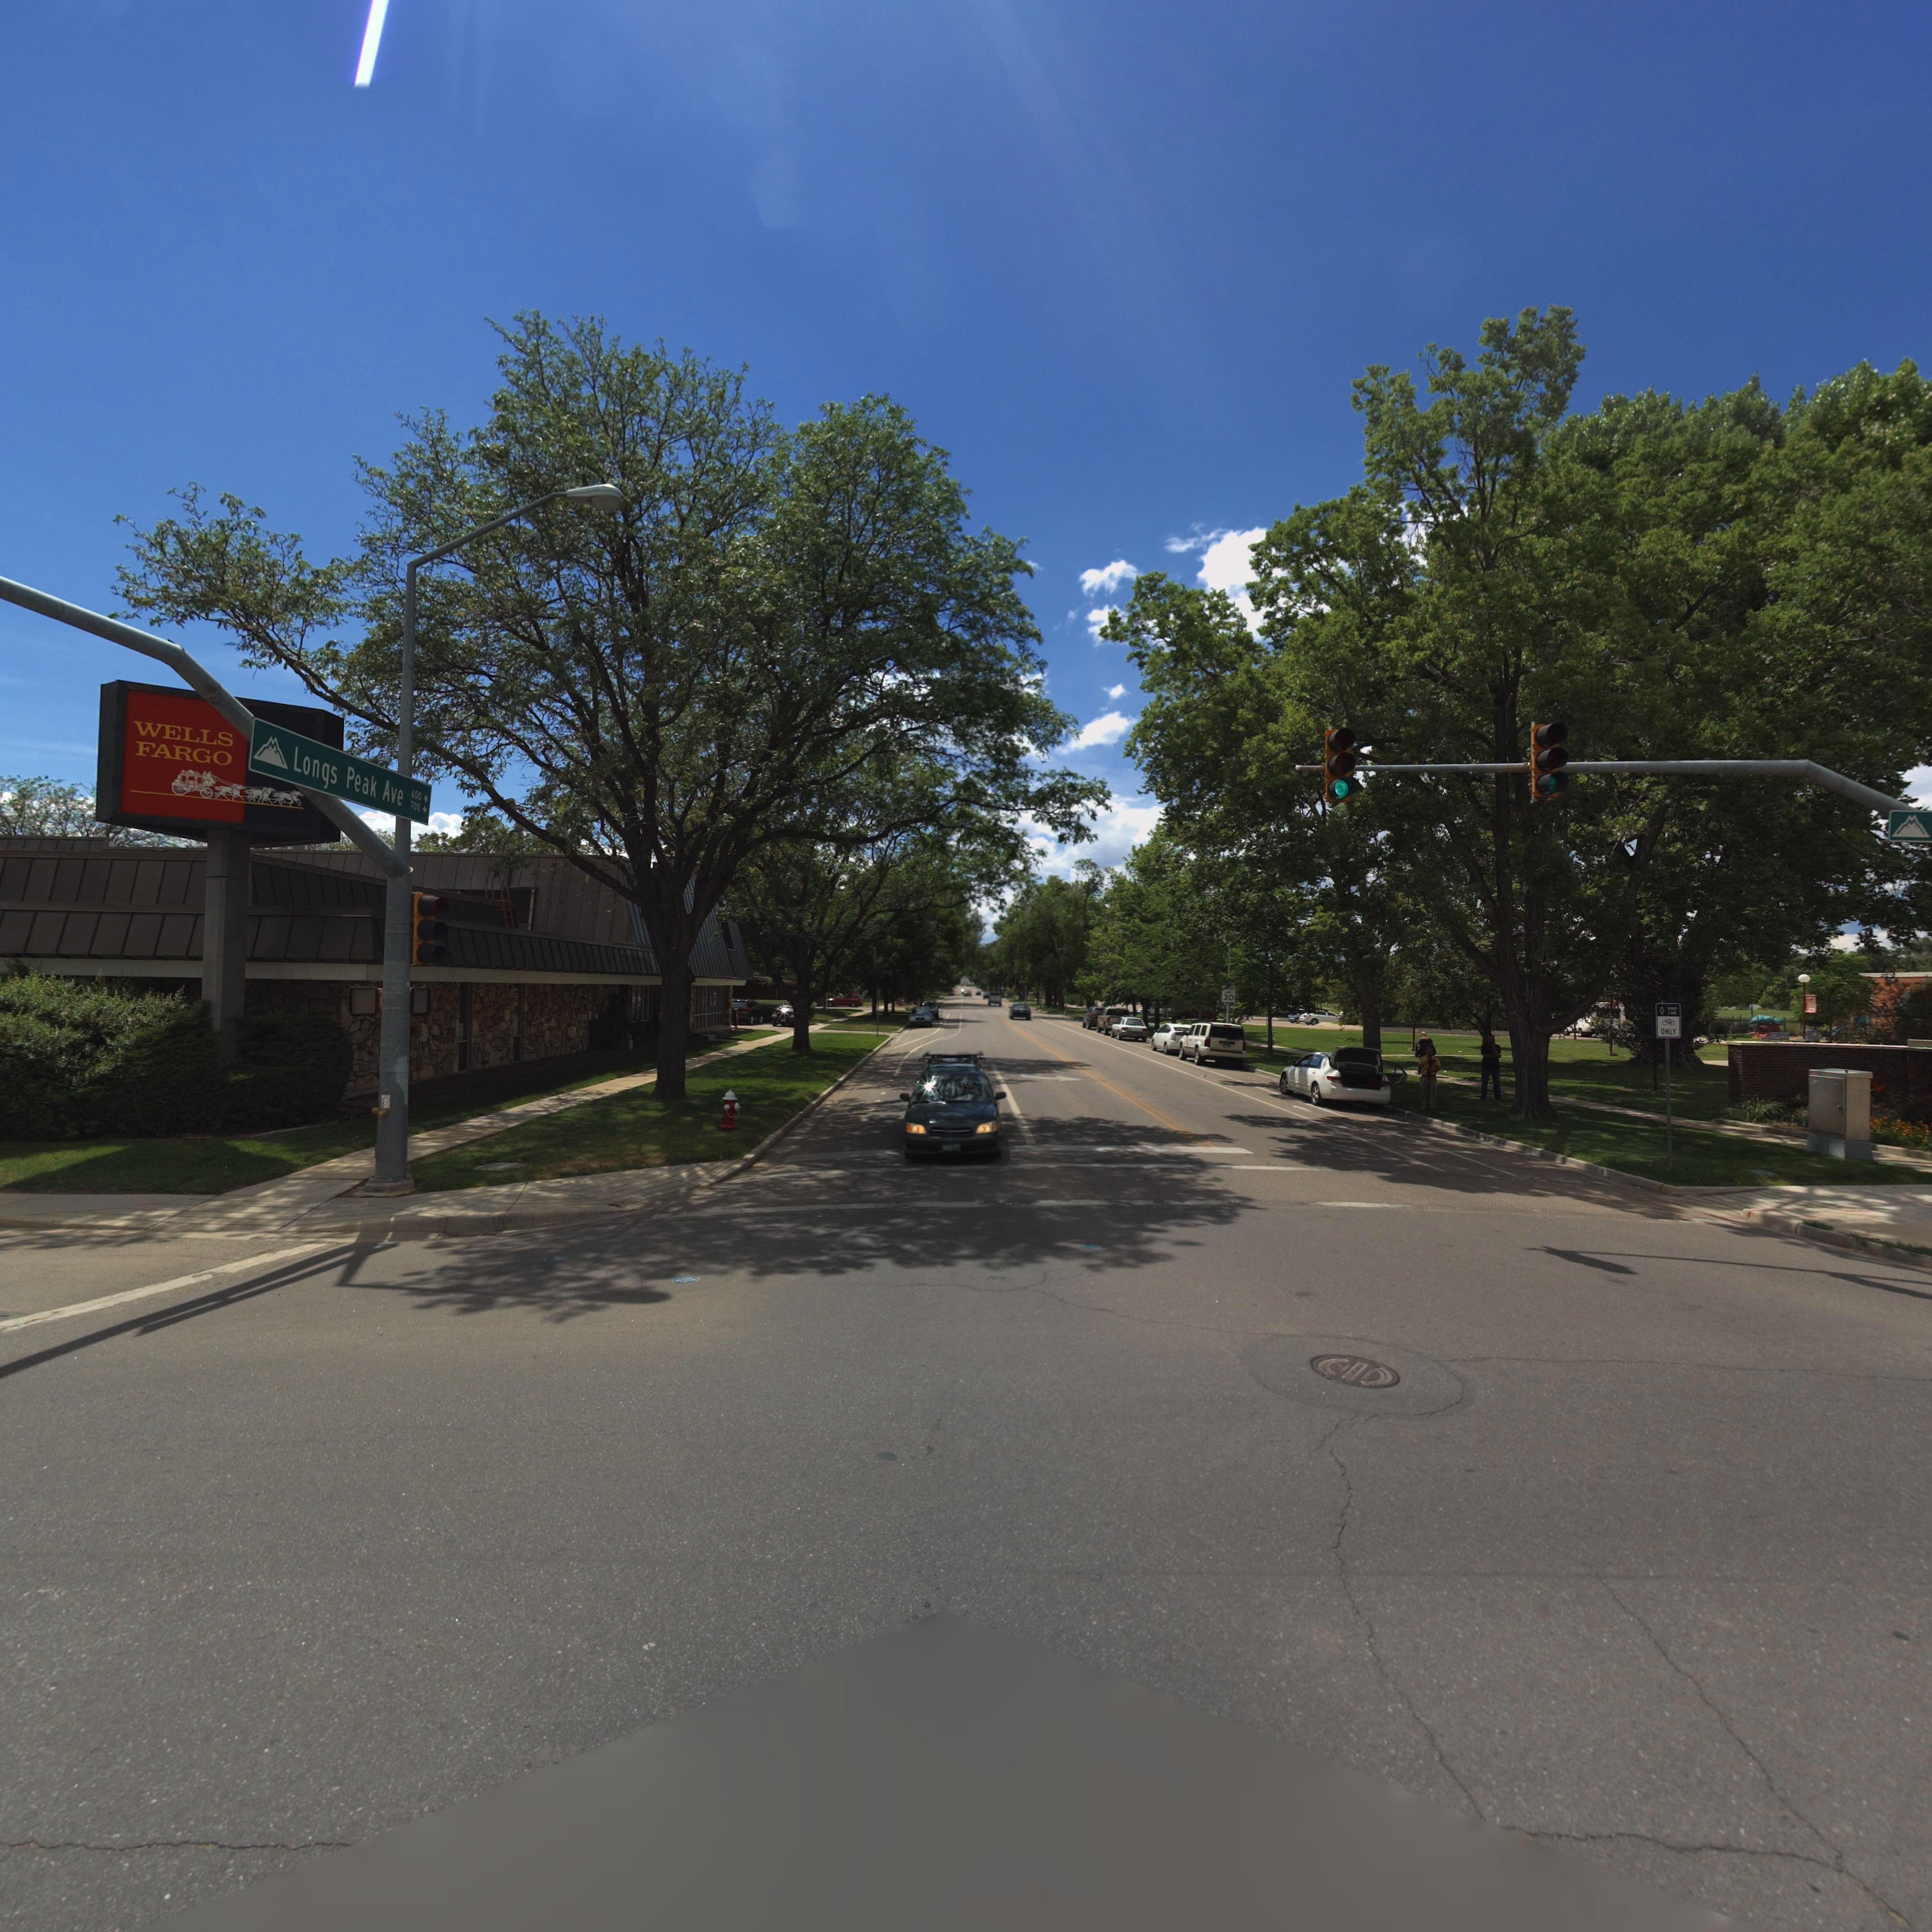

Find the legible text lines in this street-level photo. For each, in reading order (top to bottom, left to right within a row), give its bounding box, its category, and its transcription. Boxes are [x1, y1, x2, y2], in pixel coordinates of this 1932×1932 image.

[133, 719, 233, 747] BusinessName: WELLS
[135, 740, 232, 766] BusinessName: FARGO
[293, 745, 403, 806] StreetName: Longs Peak Ave
[410, 789, 422, 801] StreetNumberRange: 600
[410, 800, 427, 813] StreetNumberRange: 700 ->